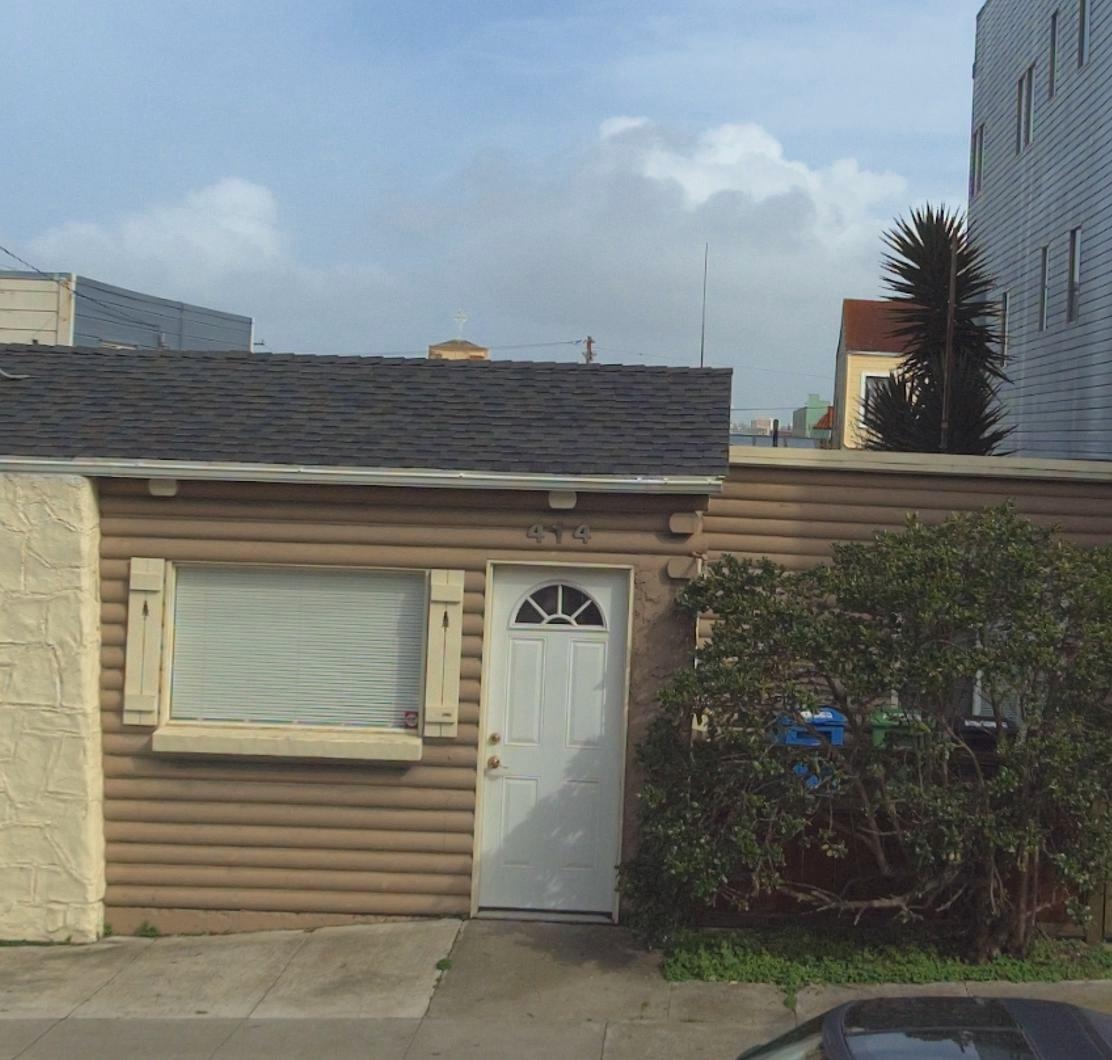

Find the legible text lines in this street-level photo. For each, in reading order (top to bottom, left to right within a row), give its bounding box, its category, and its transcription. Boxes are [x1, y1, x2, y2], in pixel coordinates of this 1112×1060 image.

[524, 518, 593, 545] StreetNumber: 414